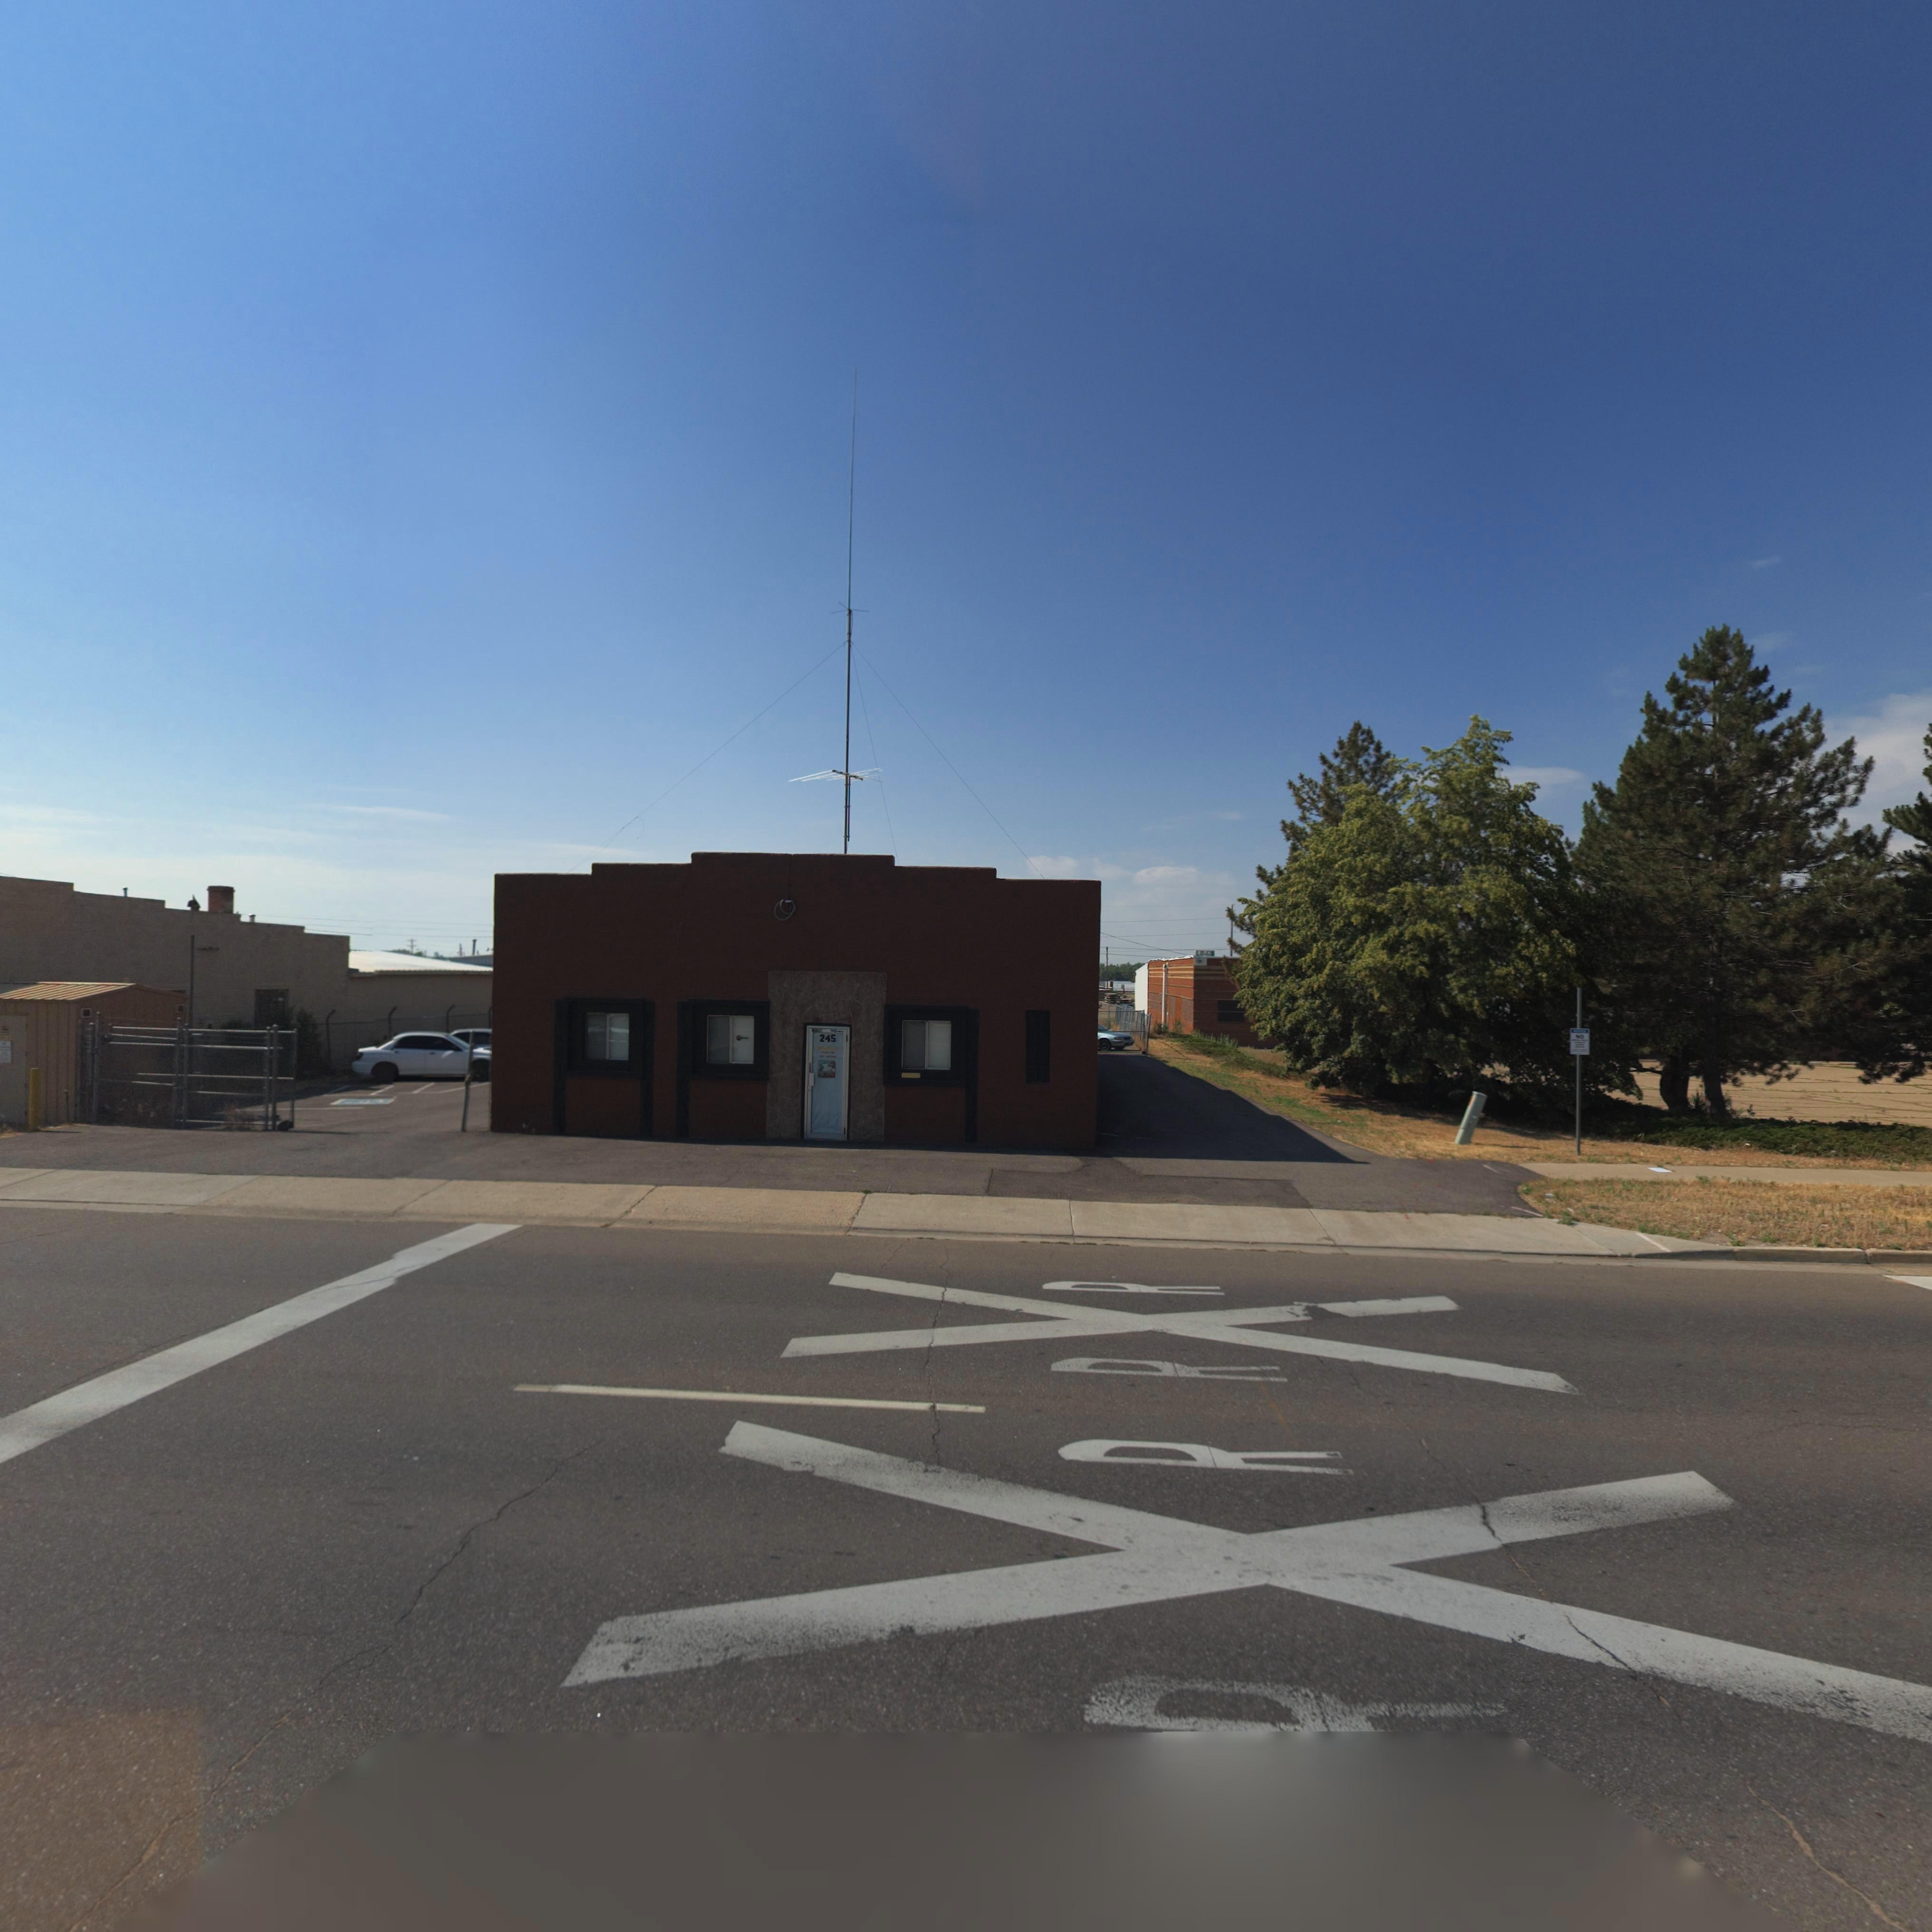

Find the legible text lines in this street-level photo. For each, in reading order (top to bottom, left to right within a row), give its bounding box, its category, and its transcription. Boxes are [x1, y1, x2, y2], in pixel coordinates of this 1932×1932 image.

[819, 1034, 836, 1042] StreetNumber: 245